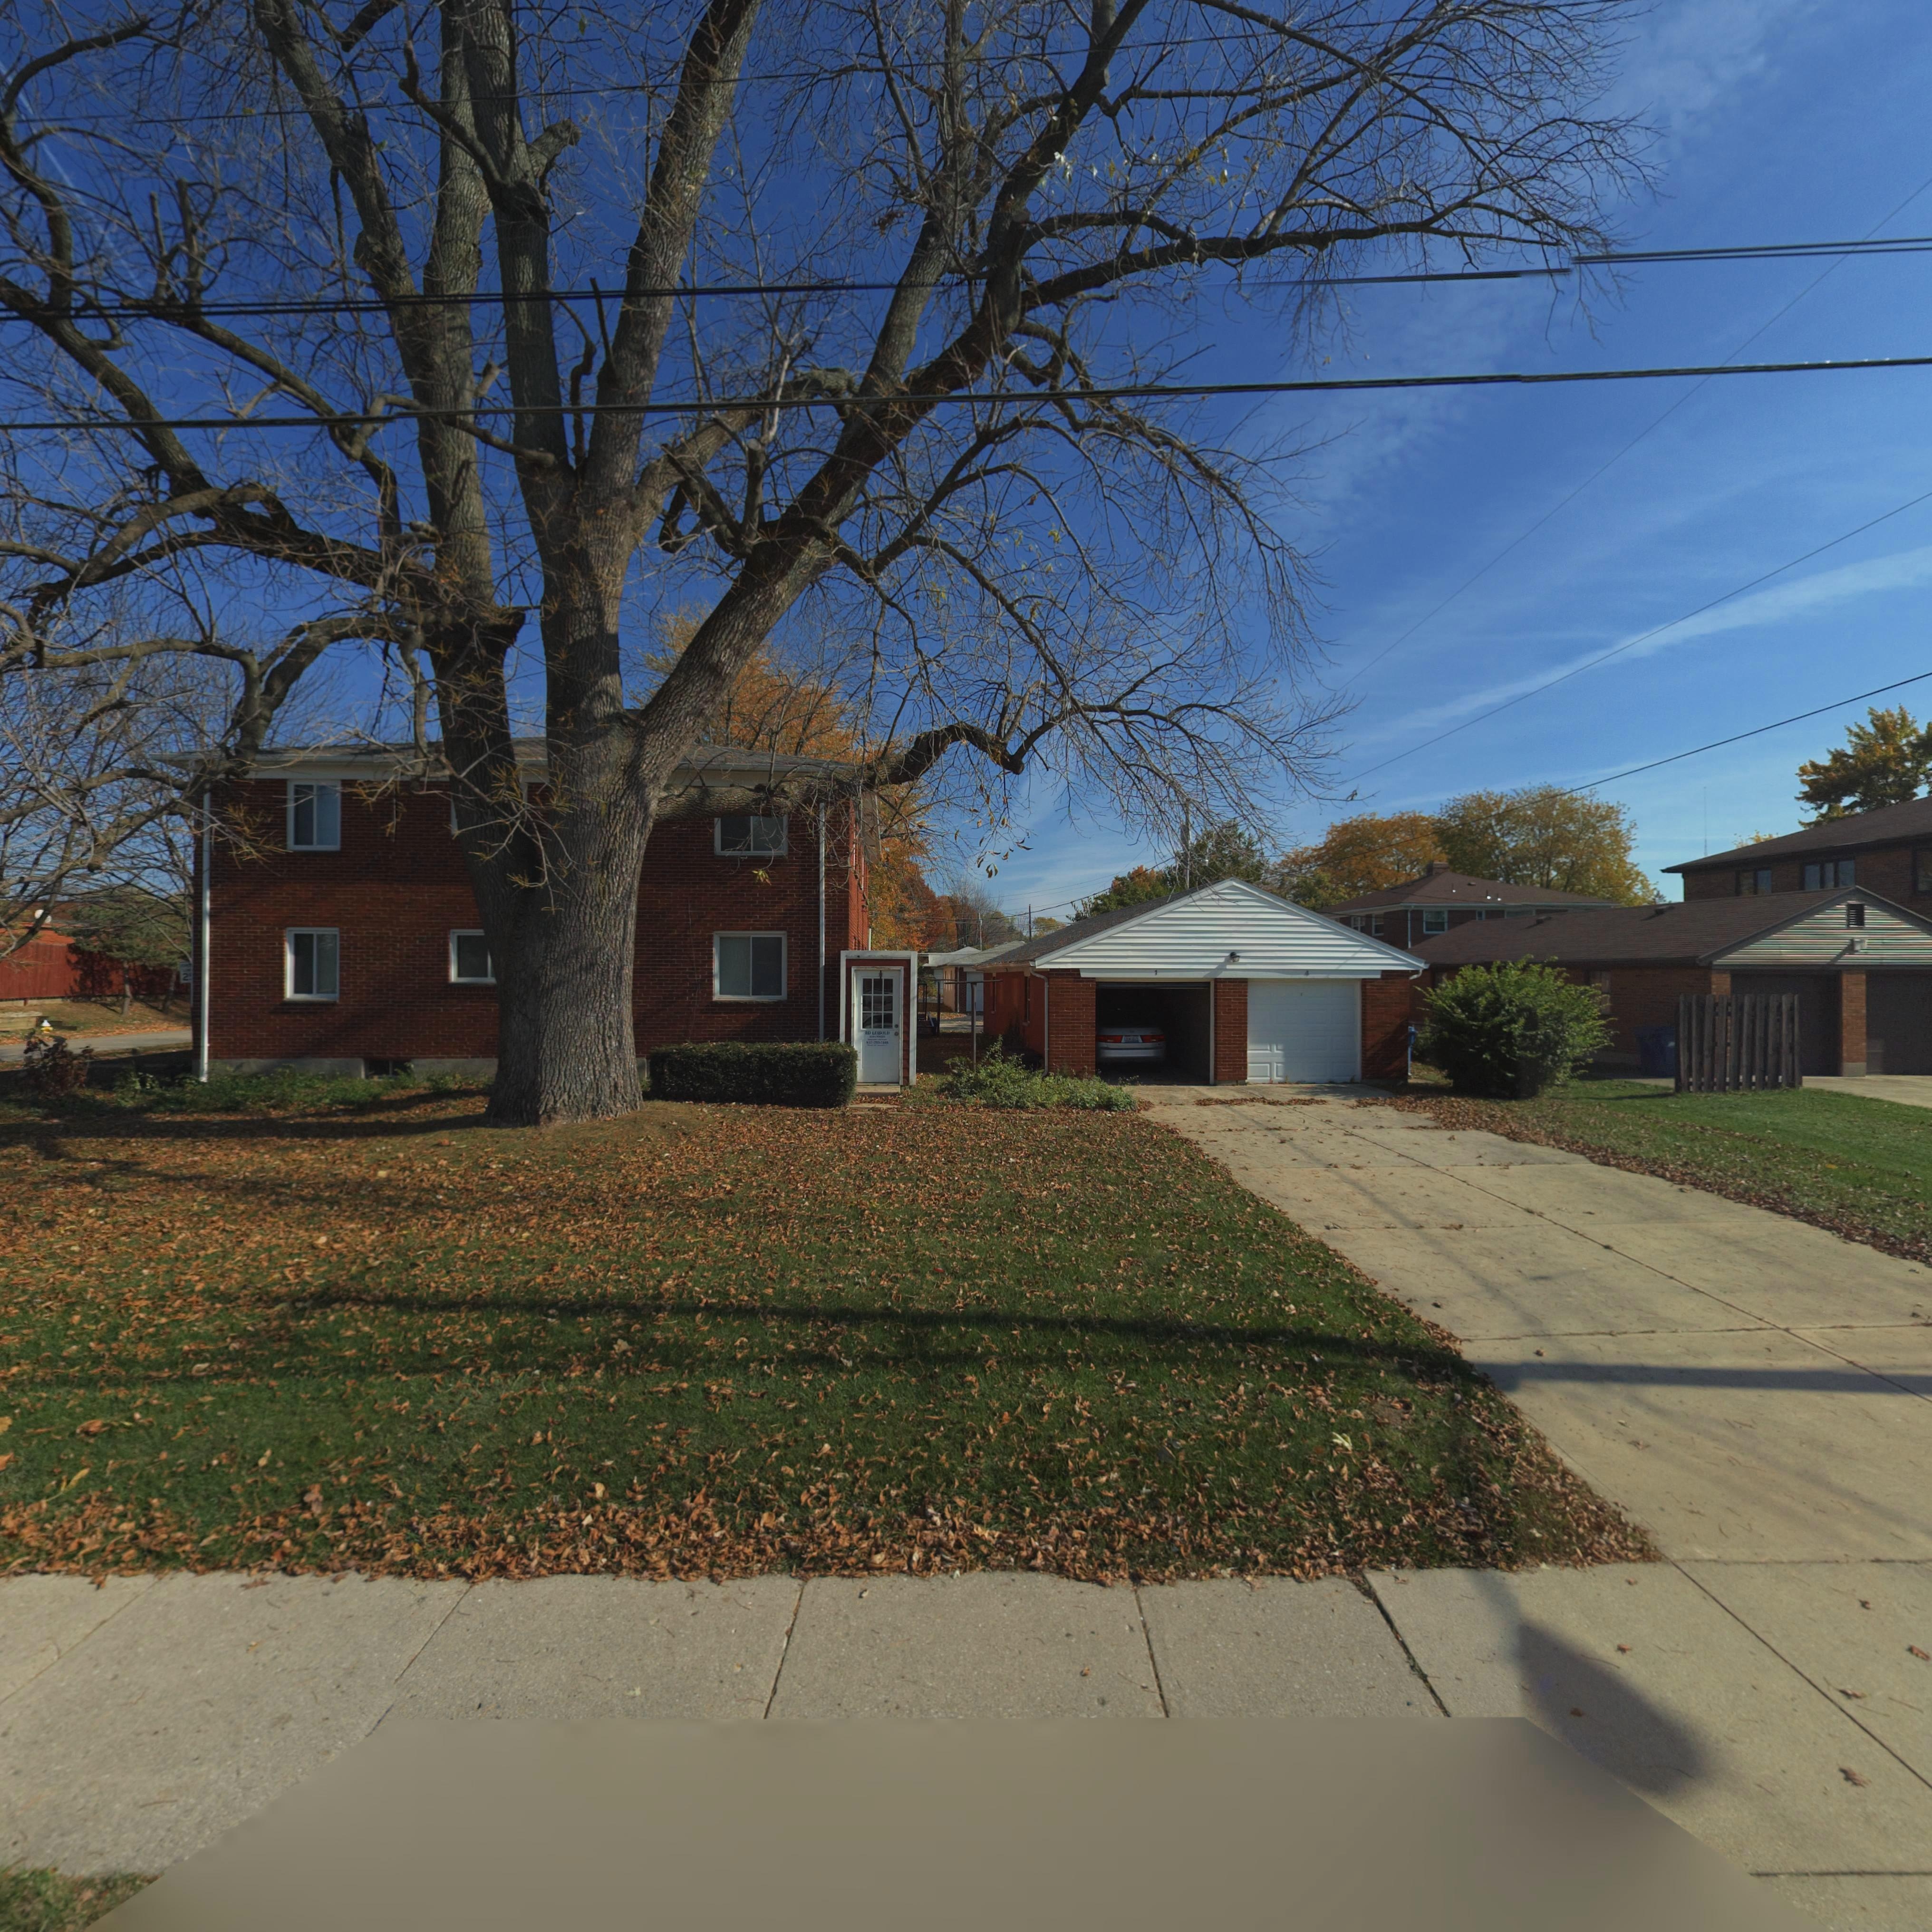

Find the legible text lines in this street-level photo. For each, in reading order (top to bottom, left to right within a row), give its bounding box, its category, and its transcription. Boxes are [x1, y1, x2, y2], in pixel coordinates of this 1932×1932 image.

[182, 973, 189, 981] None: 2
[1154, 969, 1158, 976] StreetNumber: 1
[1304, 970, 1309, 977] StreetNumber: 4